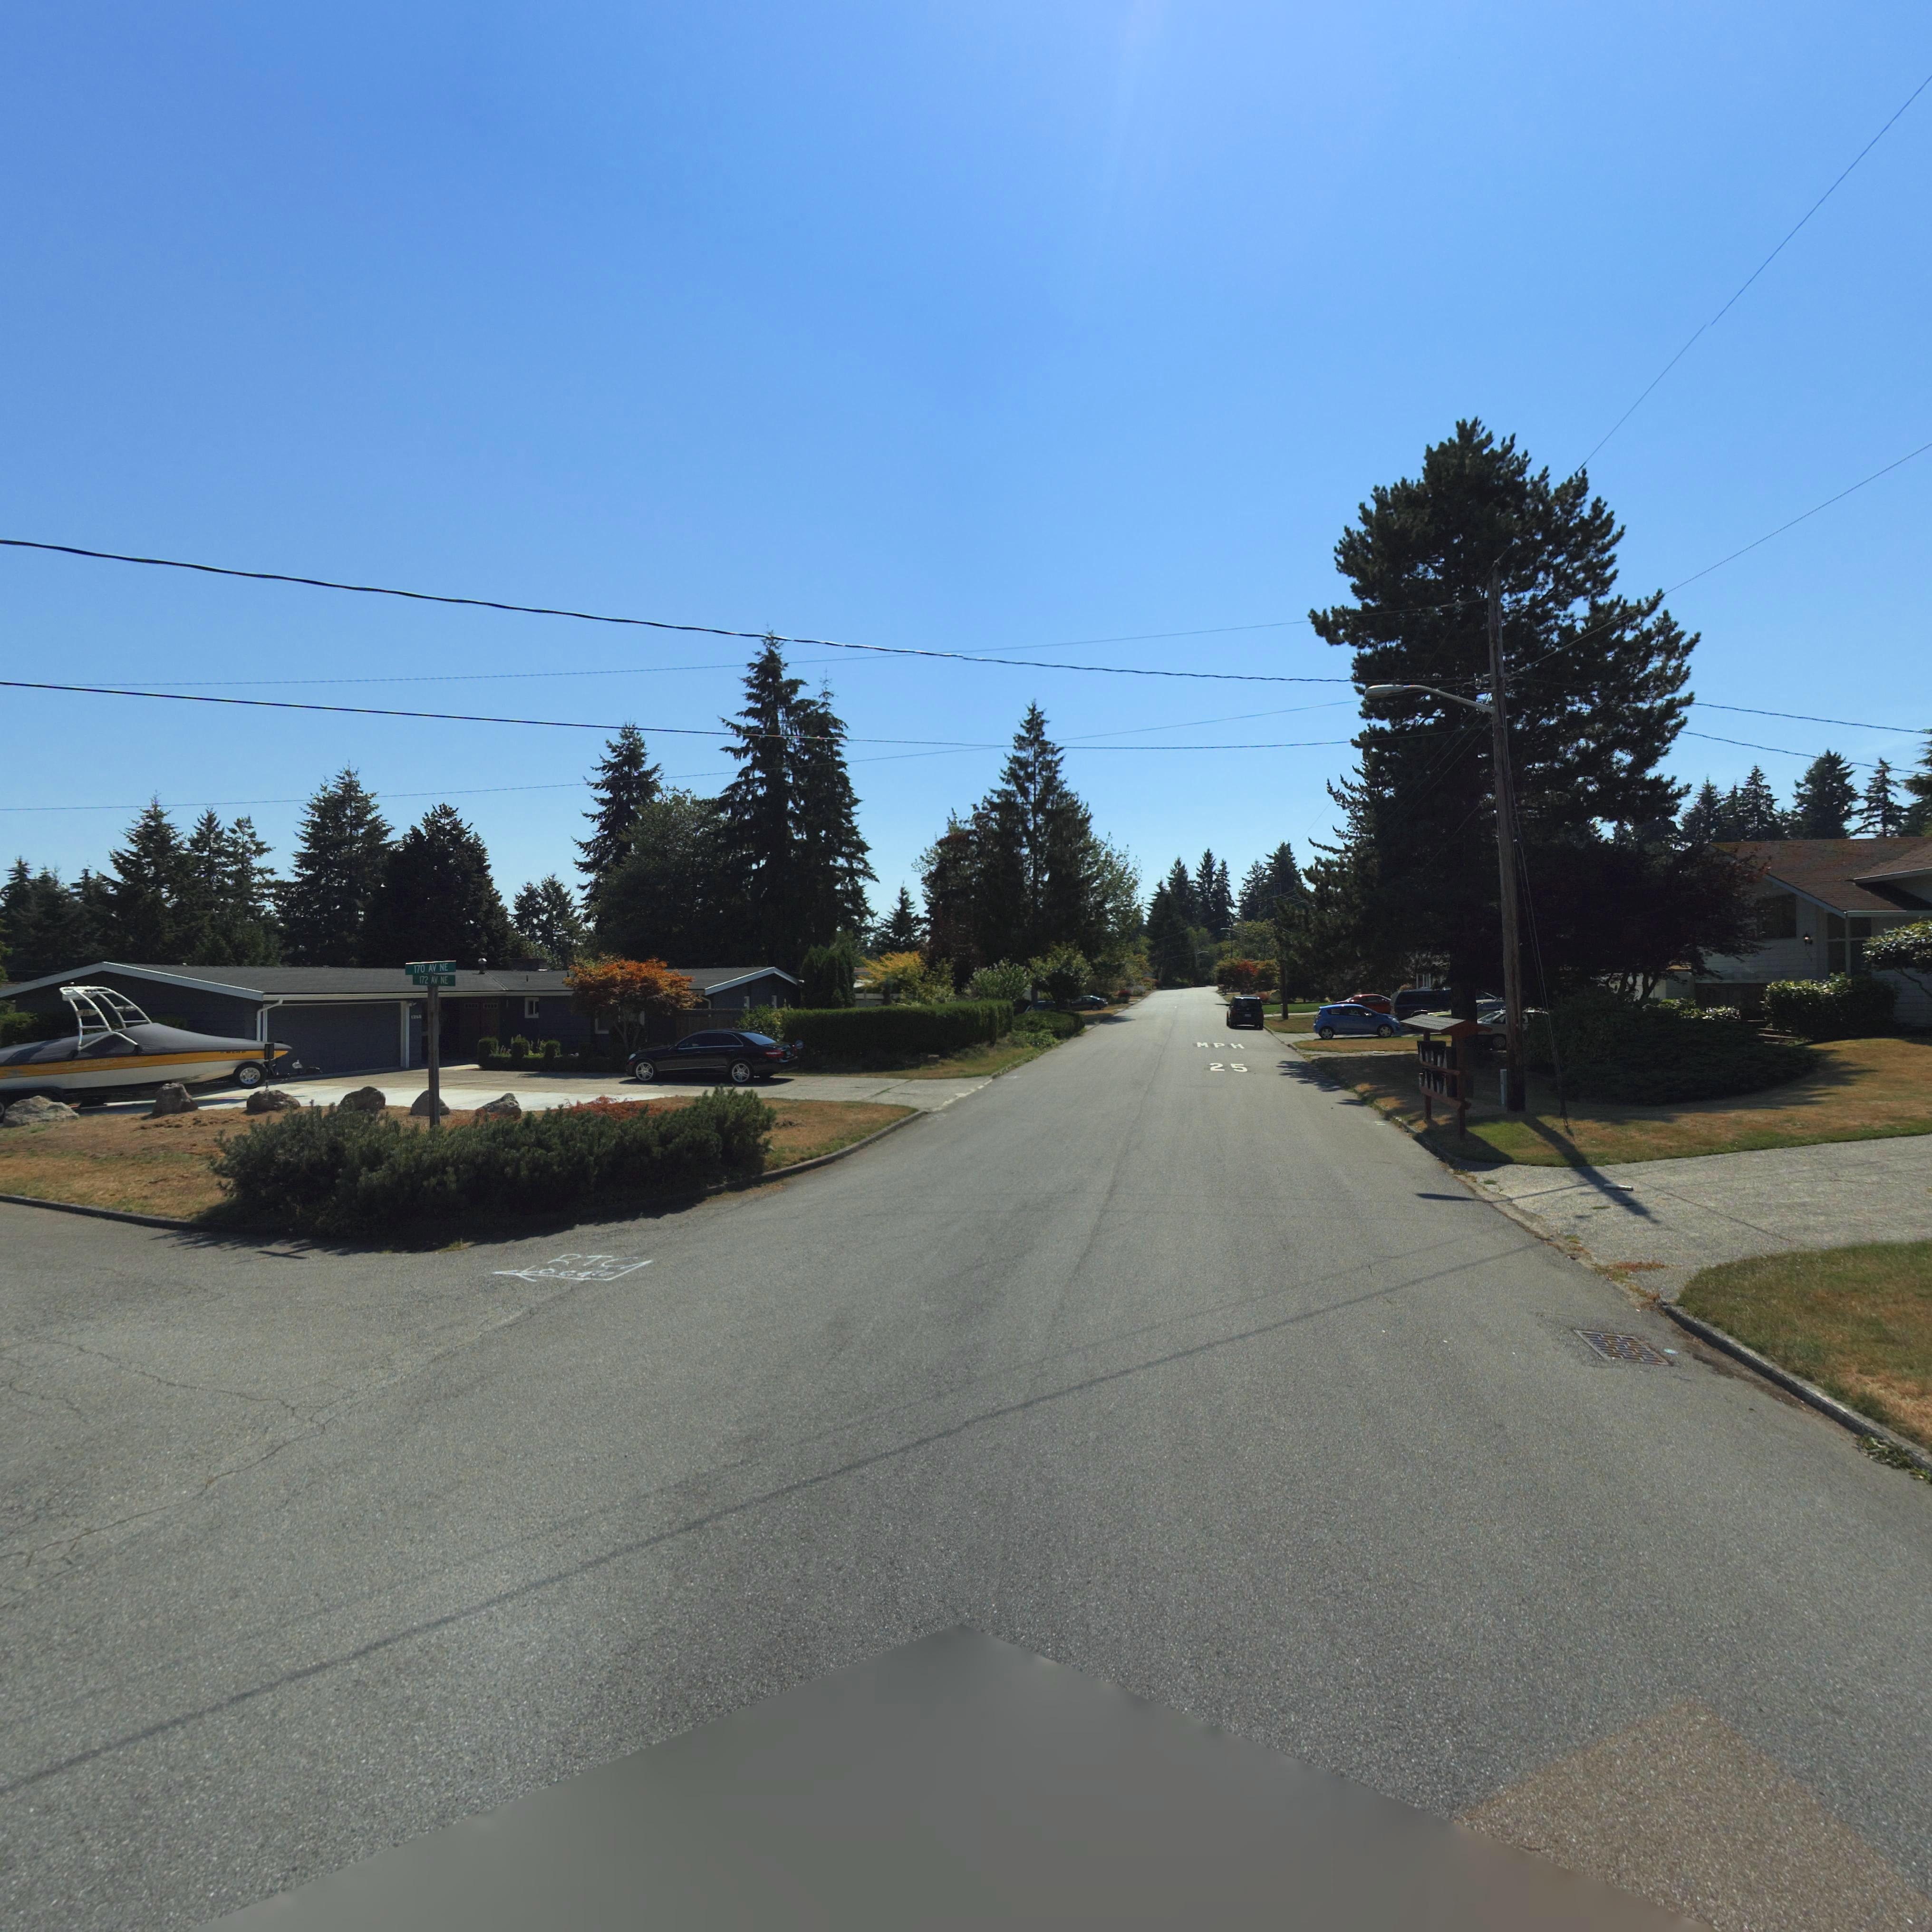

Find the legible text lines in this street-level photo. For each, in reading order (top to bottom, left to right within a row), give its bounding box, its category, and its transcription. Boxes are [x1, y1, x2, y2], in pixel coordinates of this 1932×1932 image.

[414, 962, 448, 973] StreetName: 170 AV NE
[418, 975, 448, 985] StreetName: 172 AV NE